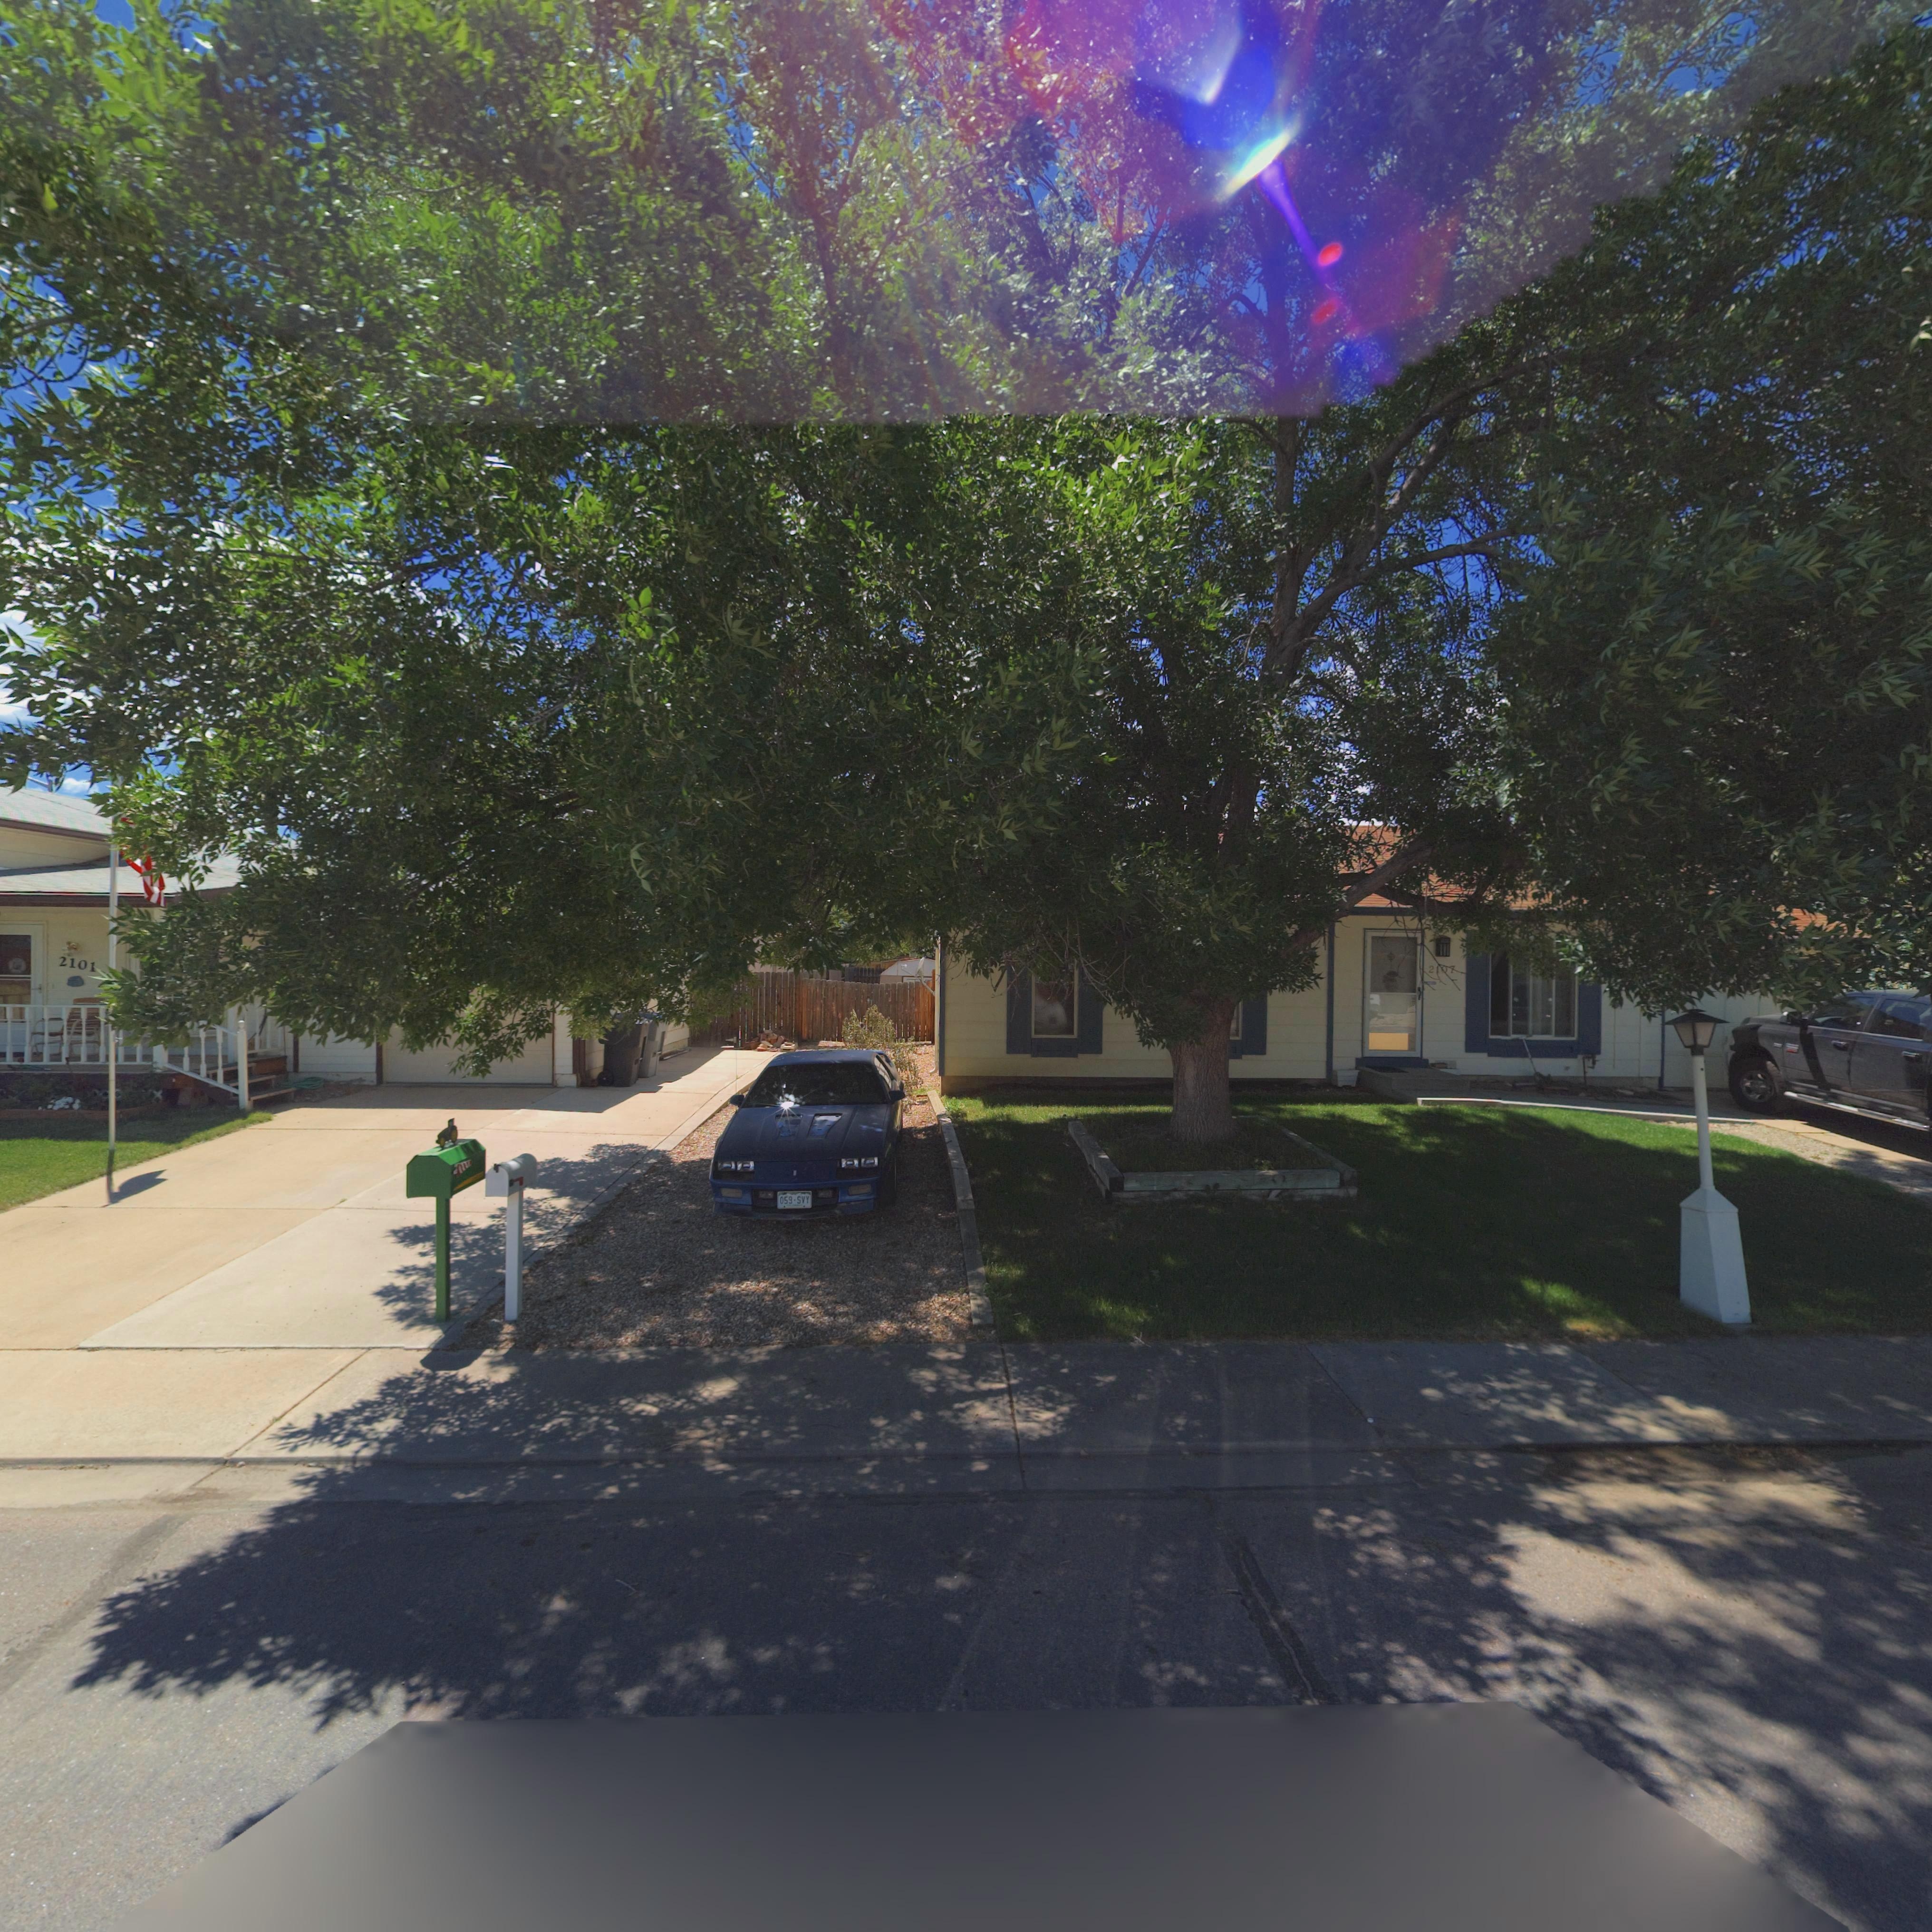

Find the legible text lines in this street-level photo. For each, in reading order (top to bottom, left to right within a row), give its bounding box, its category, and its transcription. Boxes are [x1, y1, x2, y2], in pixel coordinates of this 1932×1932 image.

[58, 956, 96, 973] StreetNumber: 2101
[1428, 965, 1455, 973] StreetNumber: 2107